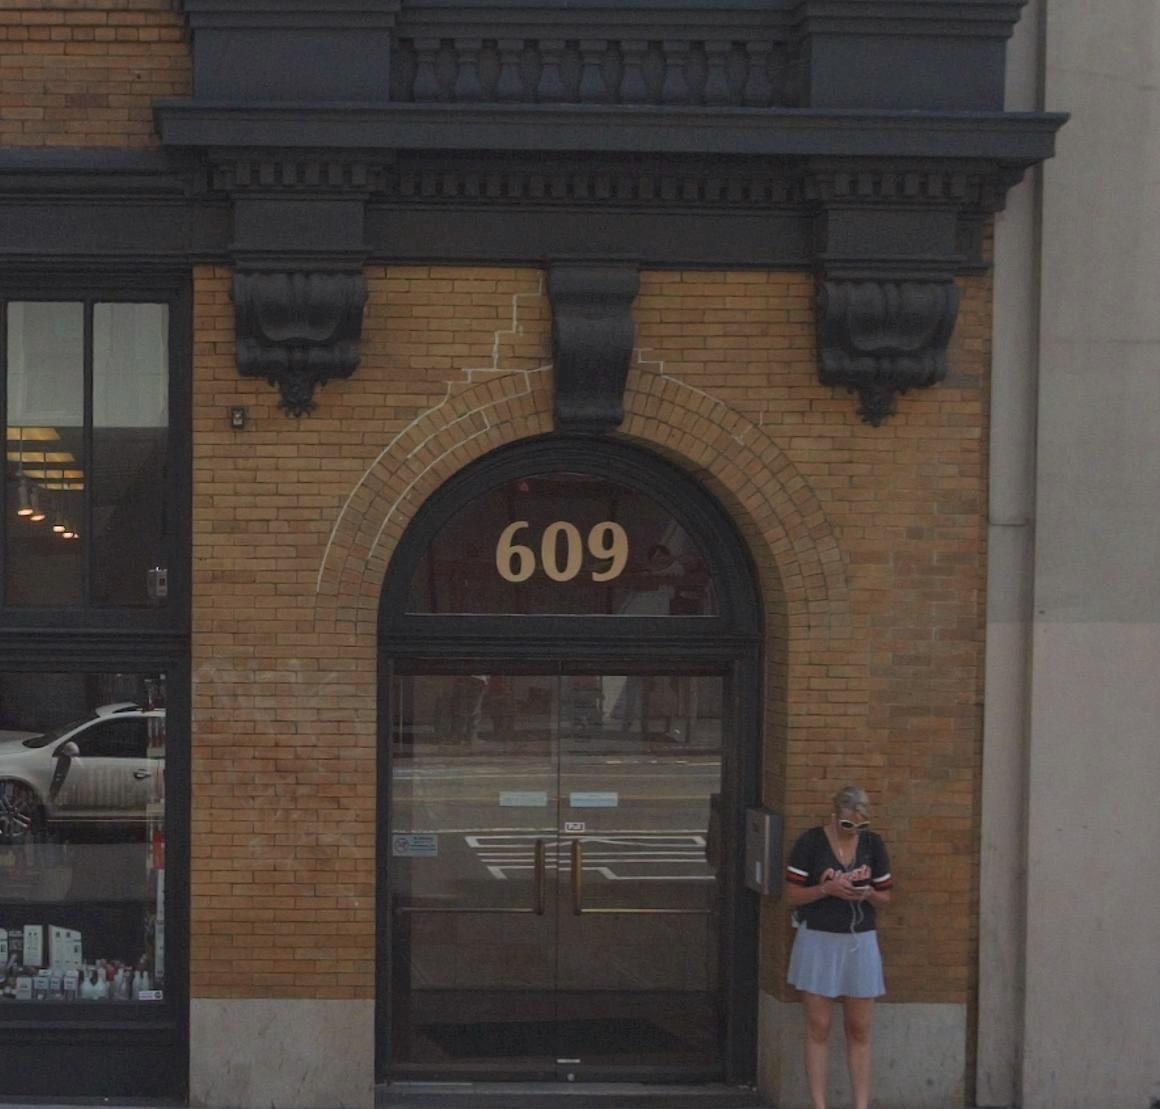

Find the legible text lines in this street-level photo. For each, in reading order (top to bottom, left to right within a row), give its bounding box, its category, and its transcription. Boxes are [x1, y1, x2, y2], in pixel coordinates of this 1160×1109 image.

[493, 514, 632, 586] StreetNumber: 609